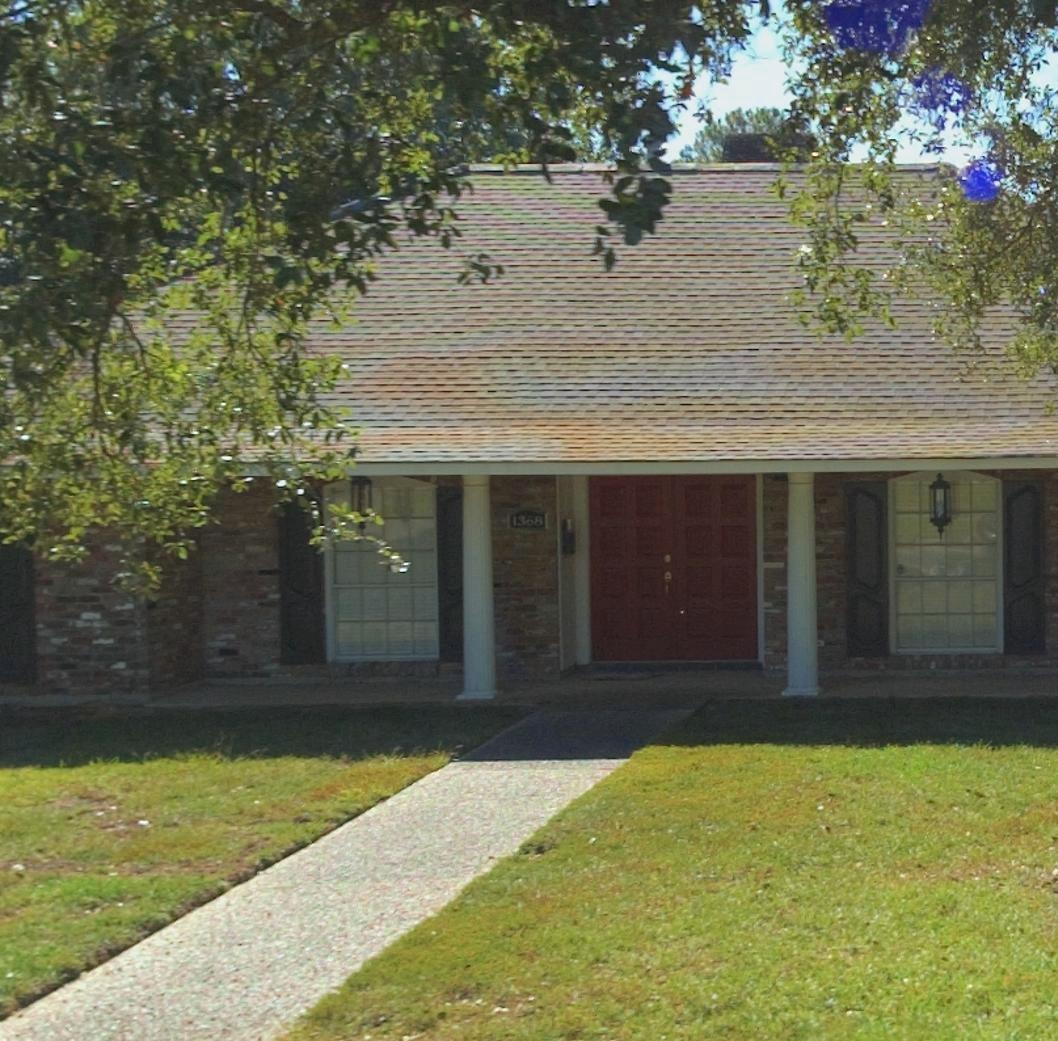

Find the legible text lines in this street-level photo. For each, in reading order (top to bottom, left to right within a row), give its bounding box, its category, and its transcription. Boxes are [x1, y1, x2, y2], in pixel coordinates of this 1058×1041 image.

[511, 513, 544, 527] StreetNumber: 1368